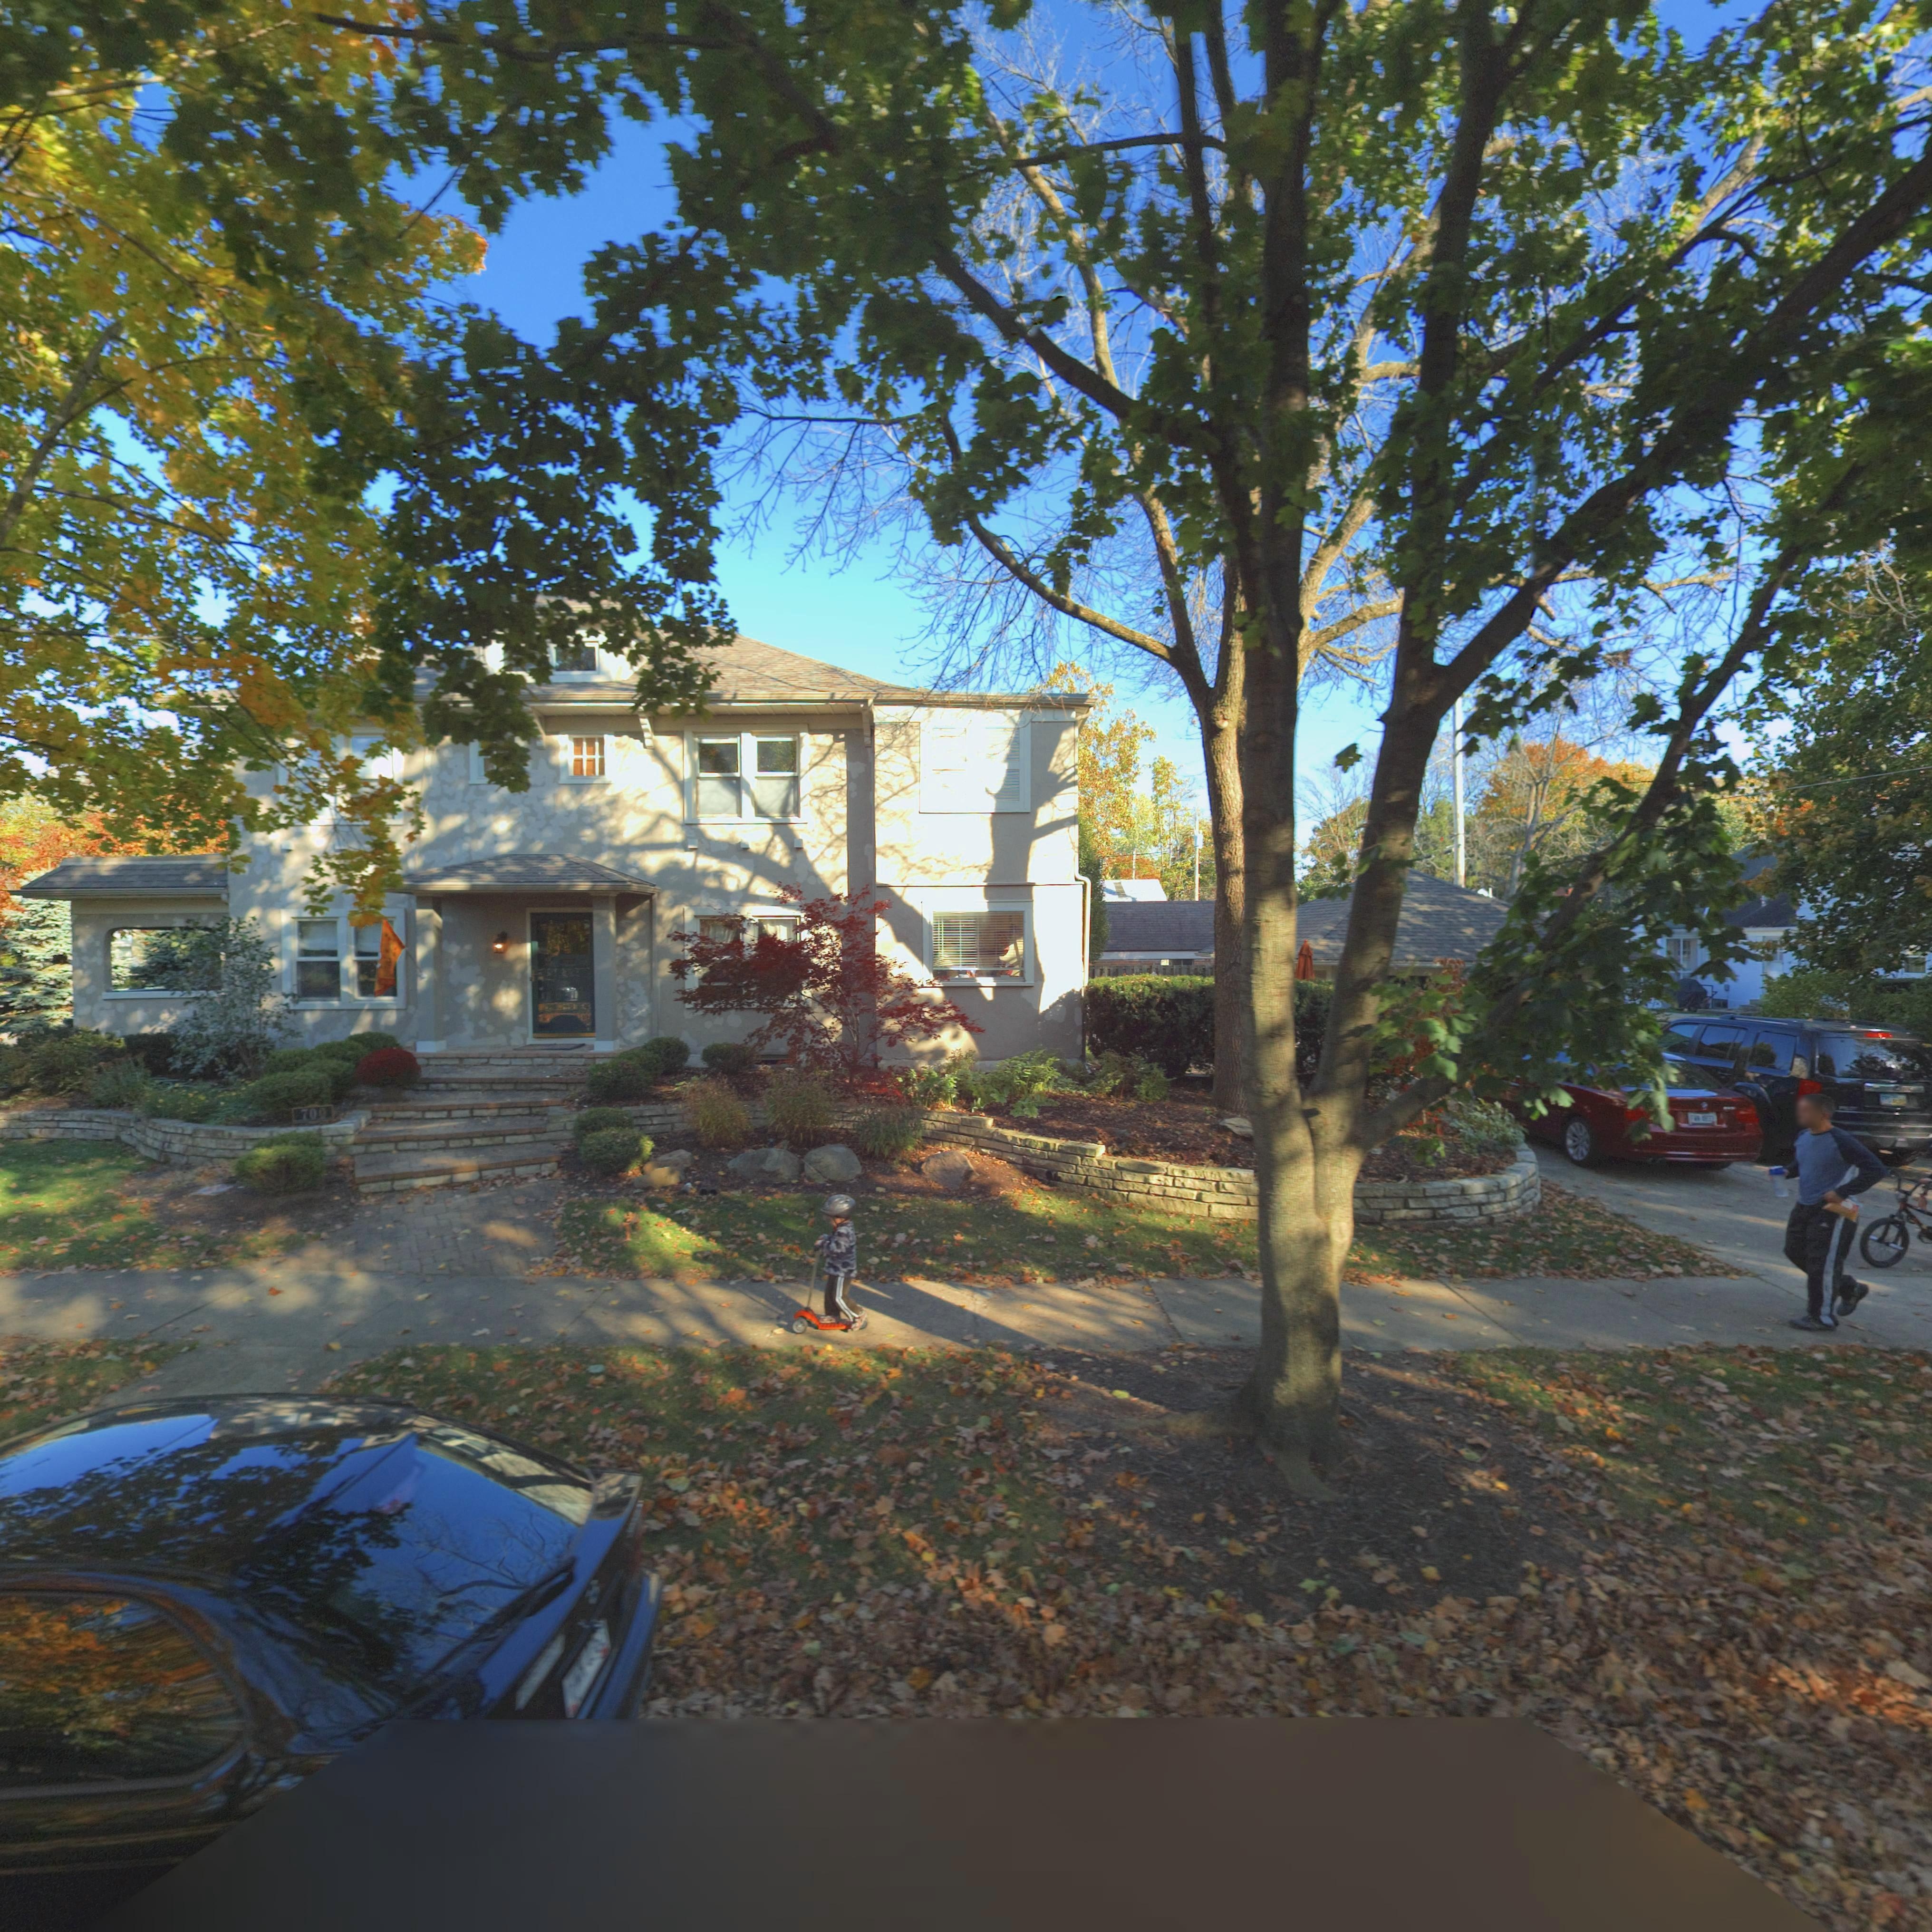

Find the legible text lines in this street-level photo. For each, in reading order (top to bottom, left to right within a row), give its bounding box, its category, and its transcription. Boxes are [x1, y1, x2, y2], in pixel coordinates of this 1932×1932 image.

[299, 1106, 328, 1123] StreetNumber: 700